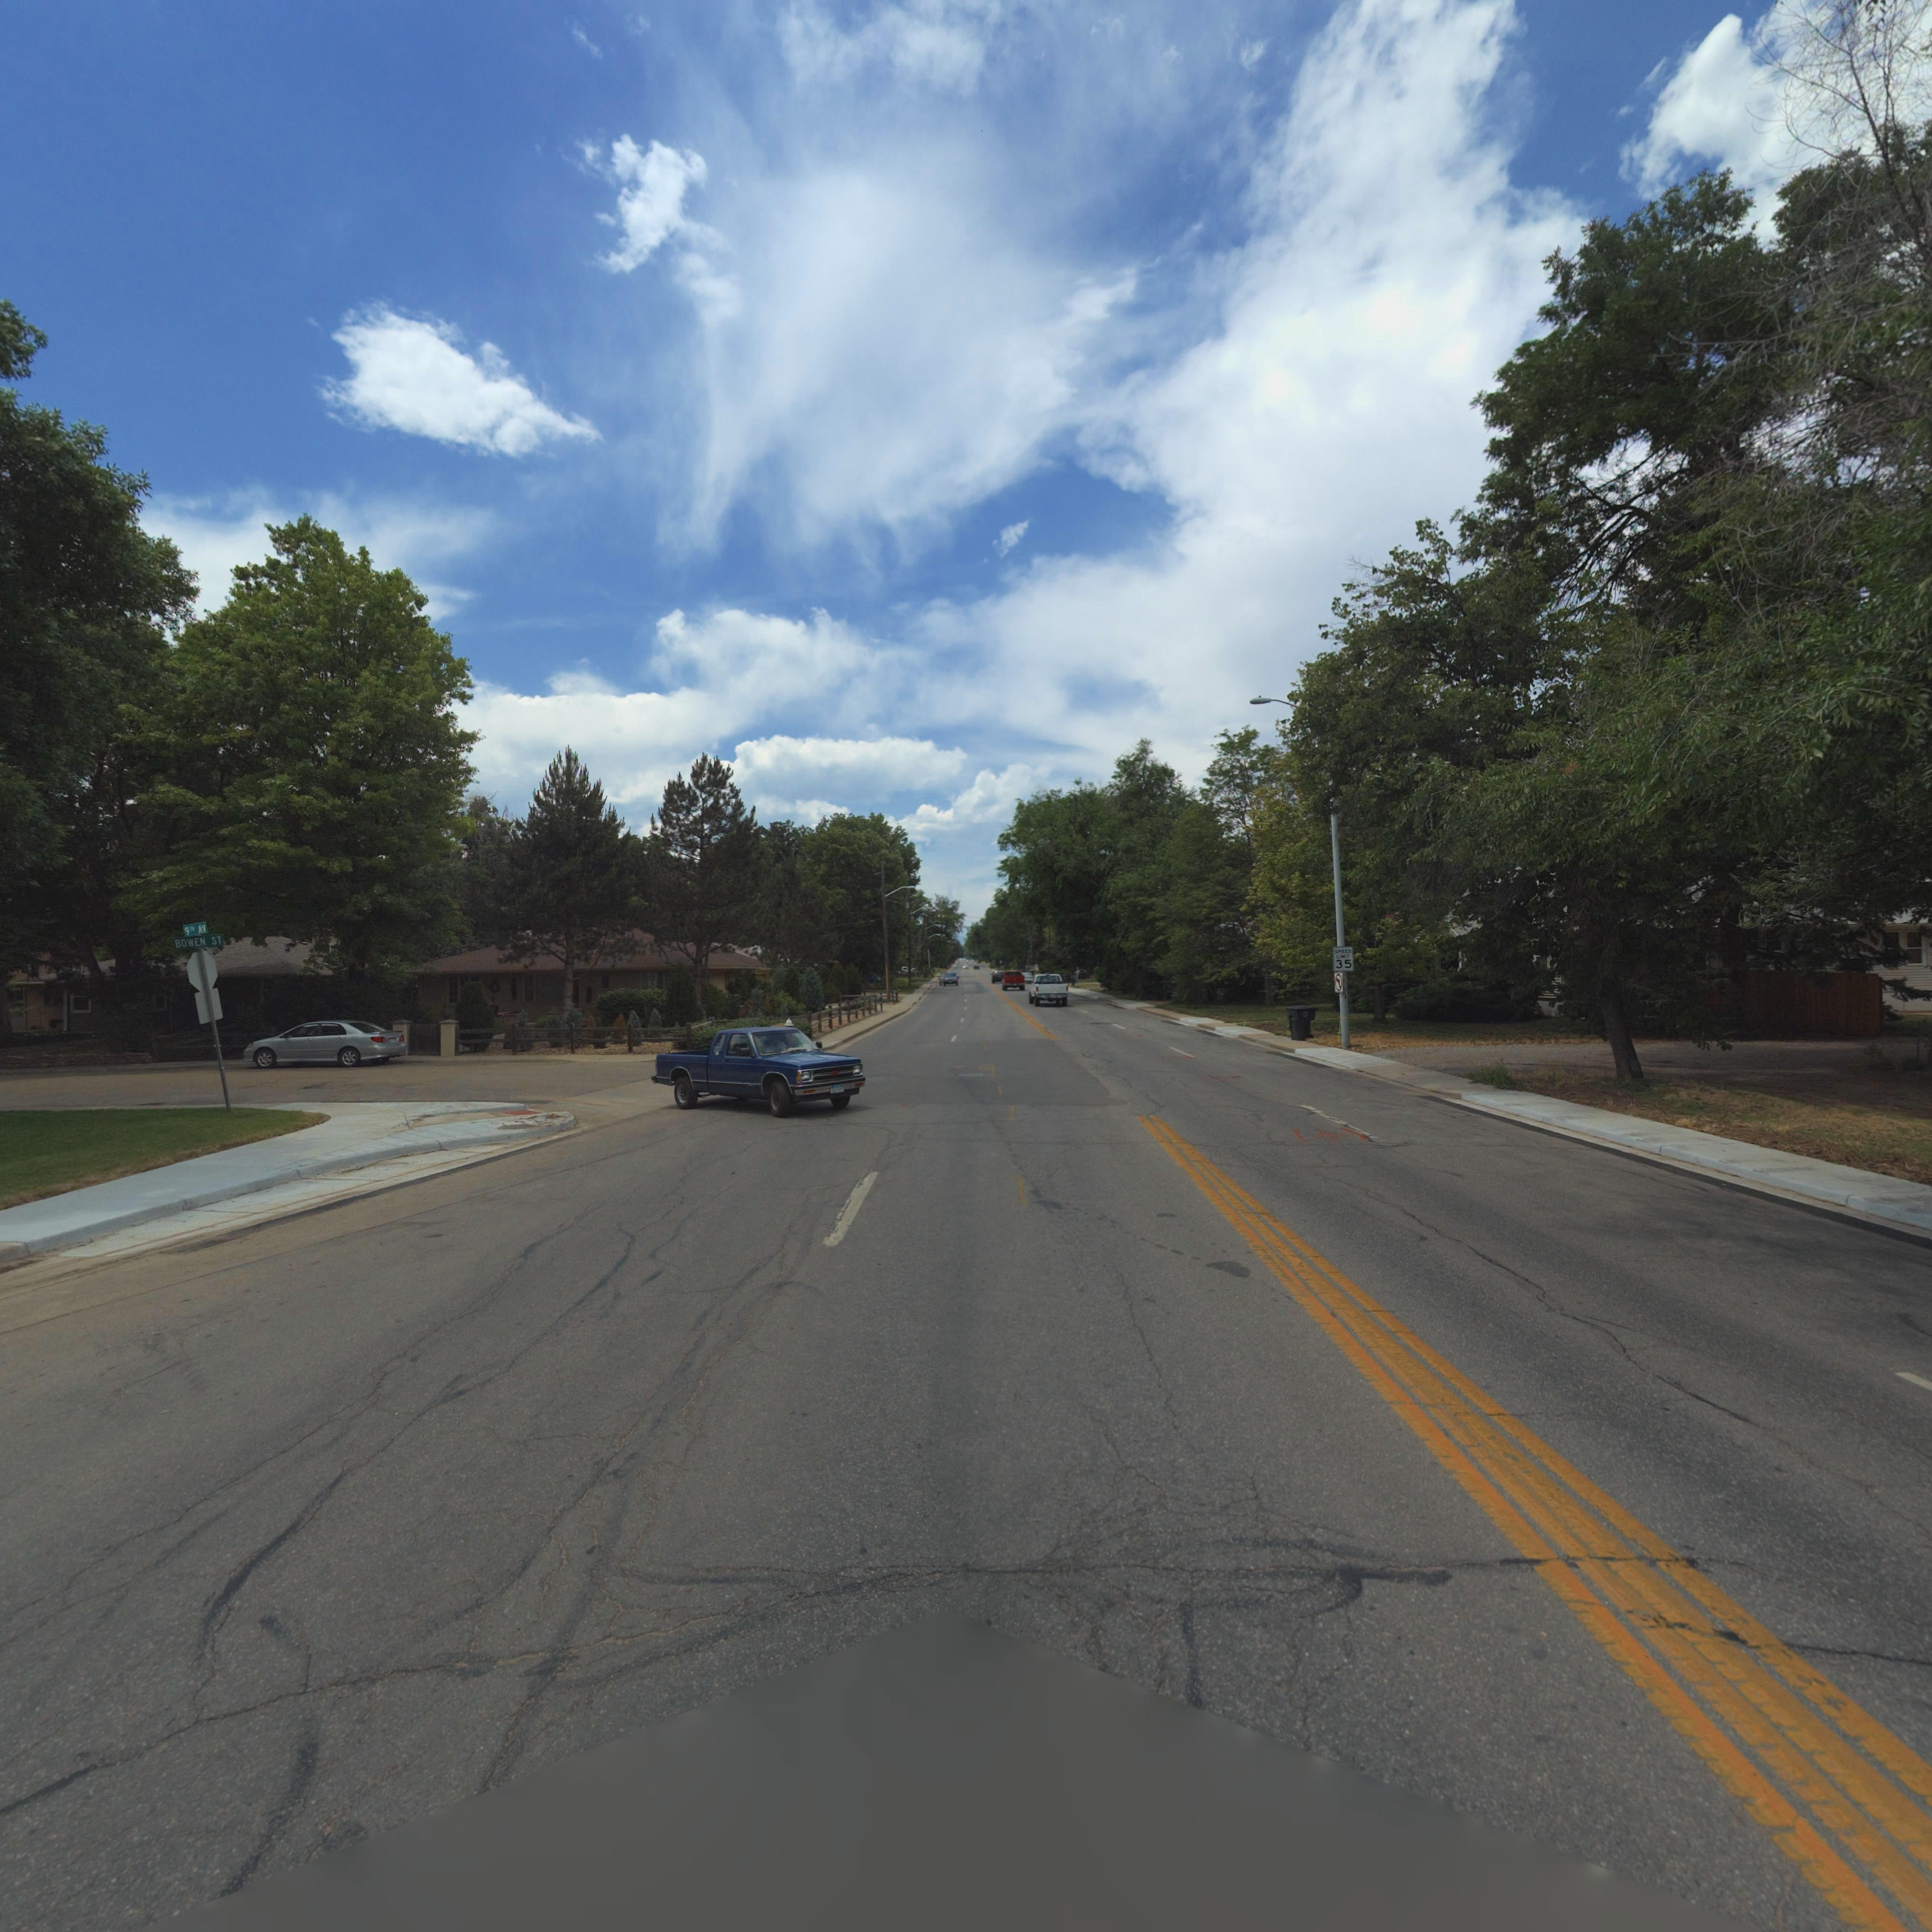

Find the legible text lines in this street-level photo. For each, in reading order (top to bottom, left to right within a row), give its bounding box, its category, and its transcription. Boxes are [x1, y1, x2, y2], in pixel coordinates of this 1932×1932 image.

[184, 924, 206, 936] StreetName: 9** AV
[174, 935, 222, 948] StreetName: BOWEN ST